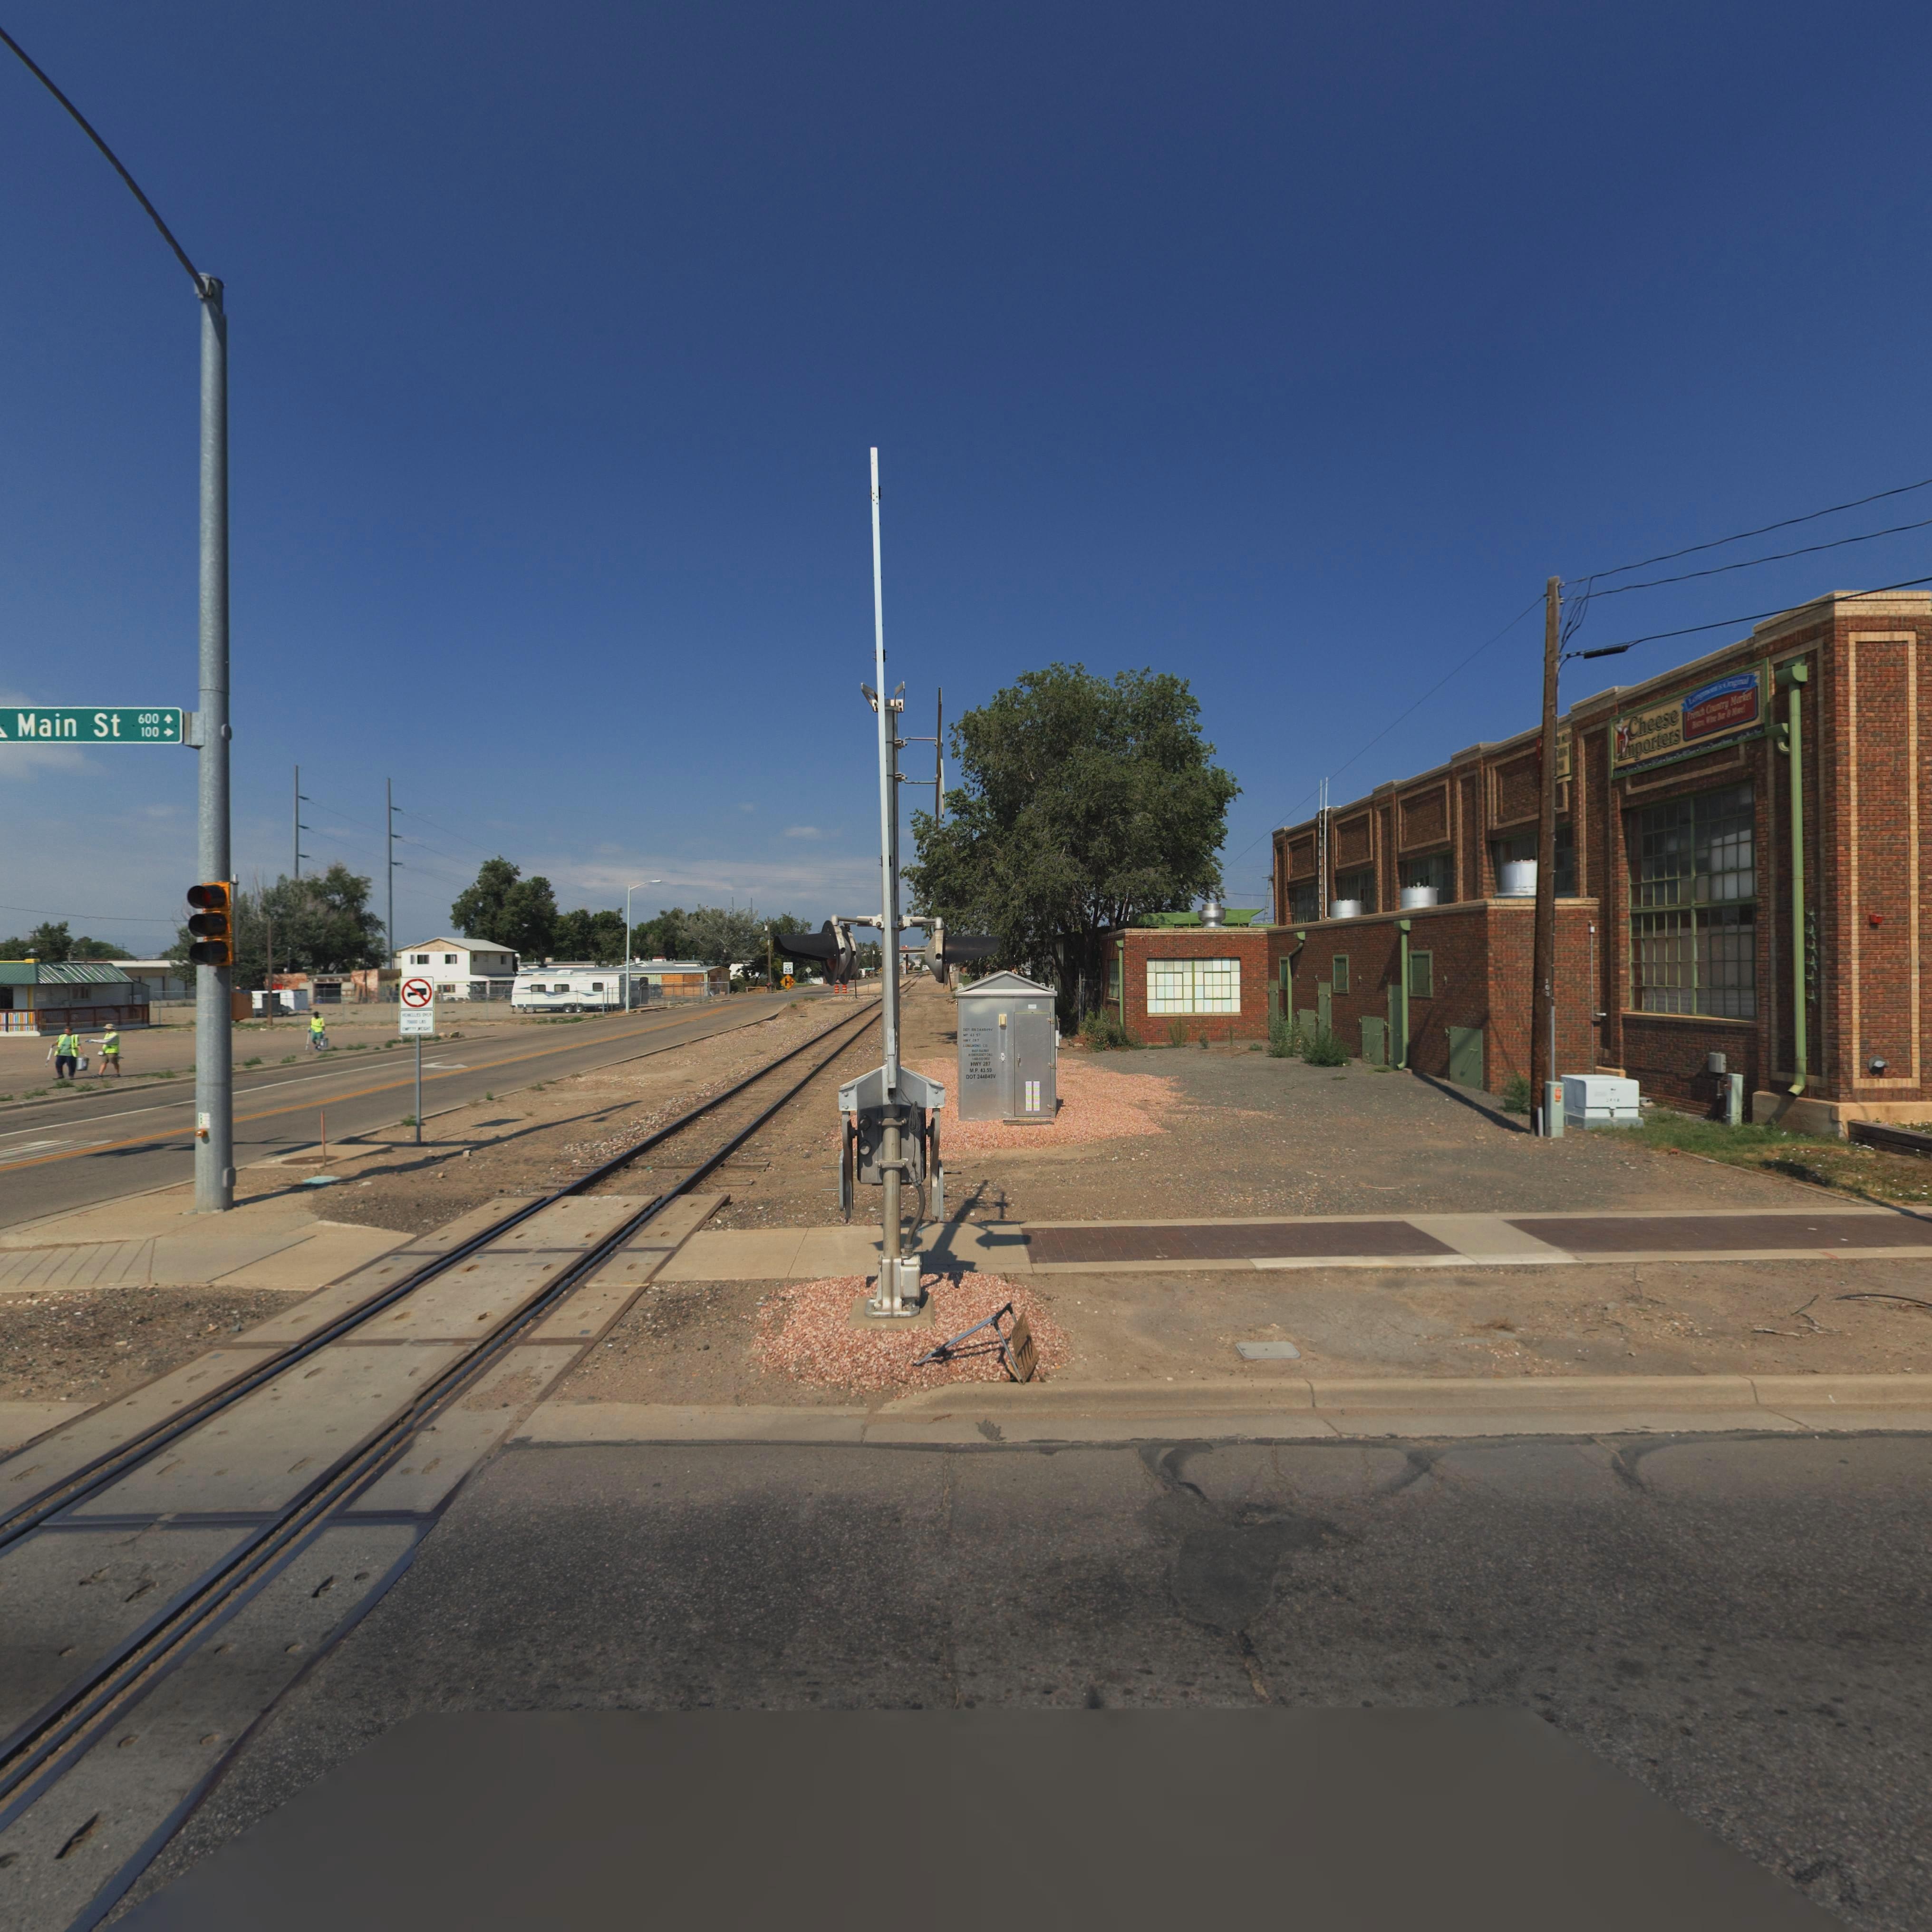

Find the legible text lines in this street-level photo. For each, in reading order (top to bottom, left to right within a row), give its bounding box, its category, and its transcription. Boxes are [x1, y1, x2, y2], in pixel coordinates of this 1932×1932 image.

[17, 712, 122, 738] StreetName: Main St
[137, 712, 159, 724] StreetNumberRange: 600
[141, 726, 174, 737] StreetNumberRange: 100 ->
[1618, 728, 1681, 761] BusinessName: Importers
[1626, 708, 1680, 740] BusinessName: Cheese